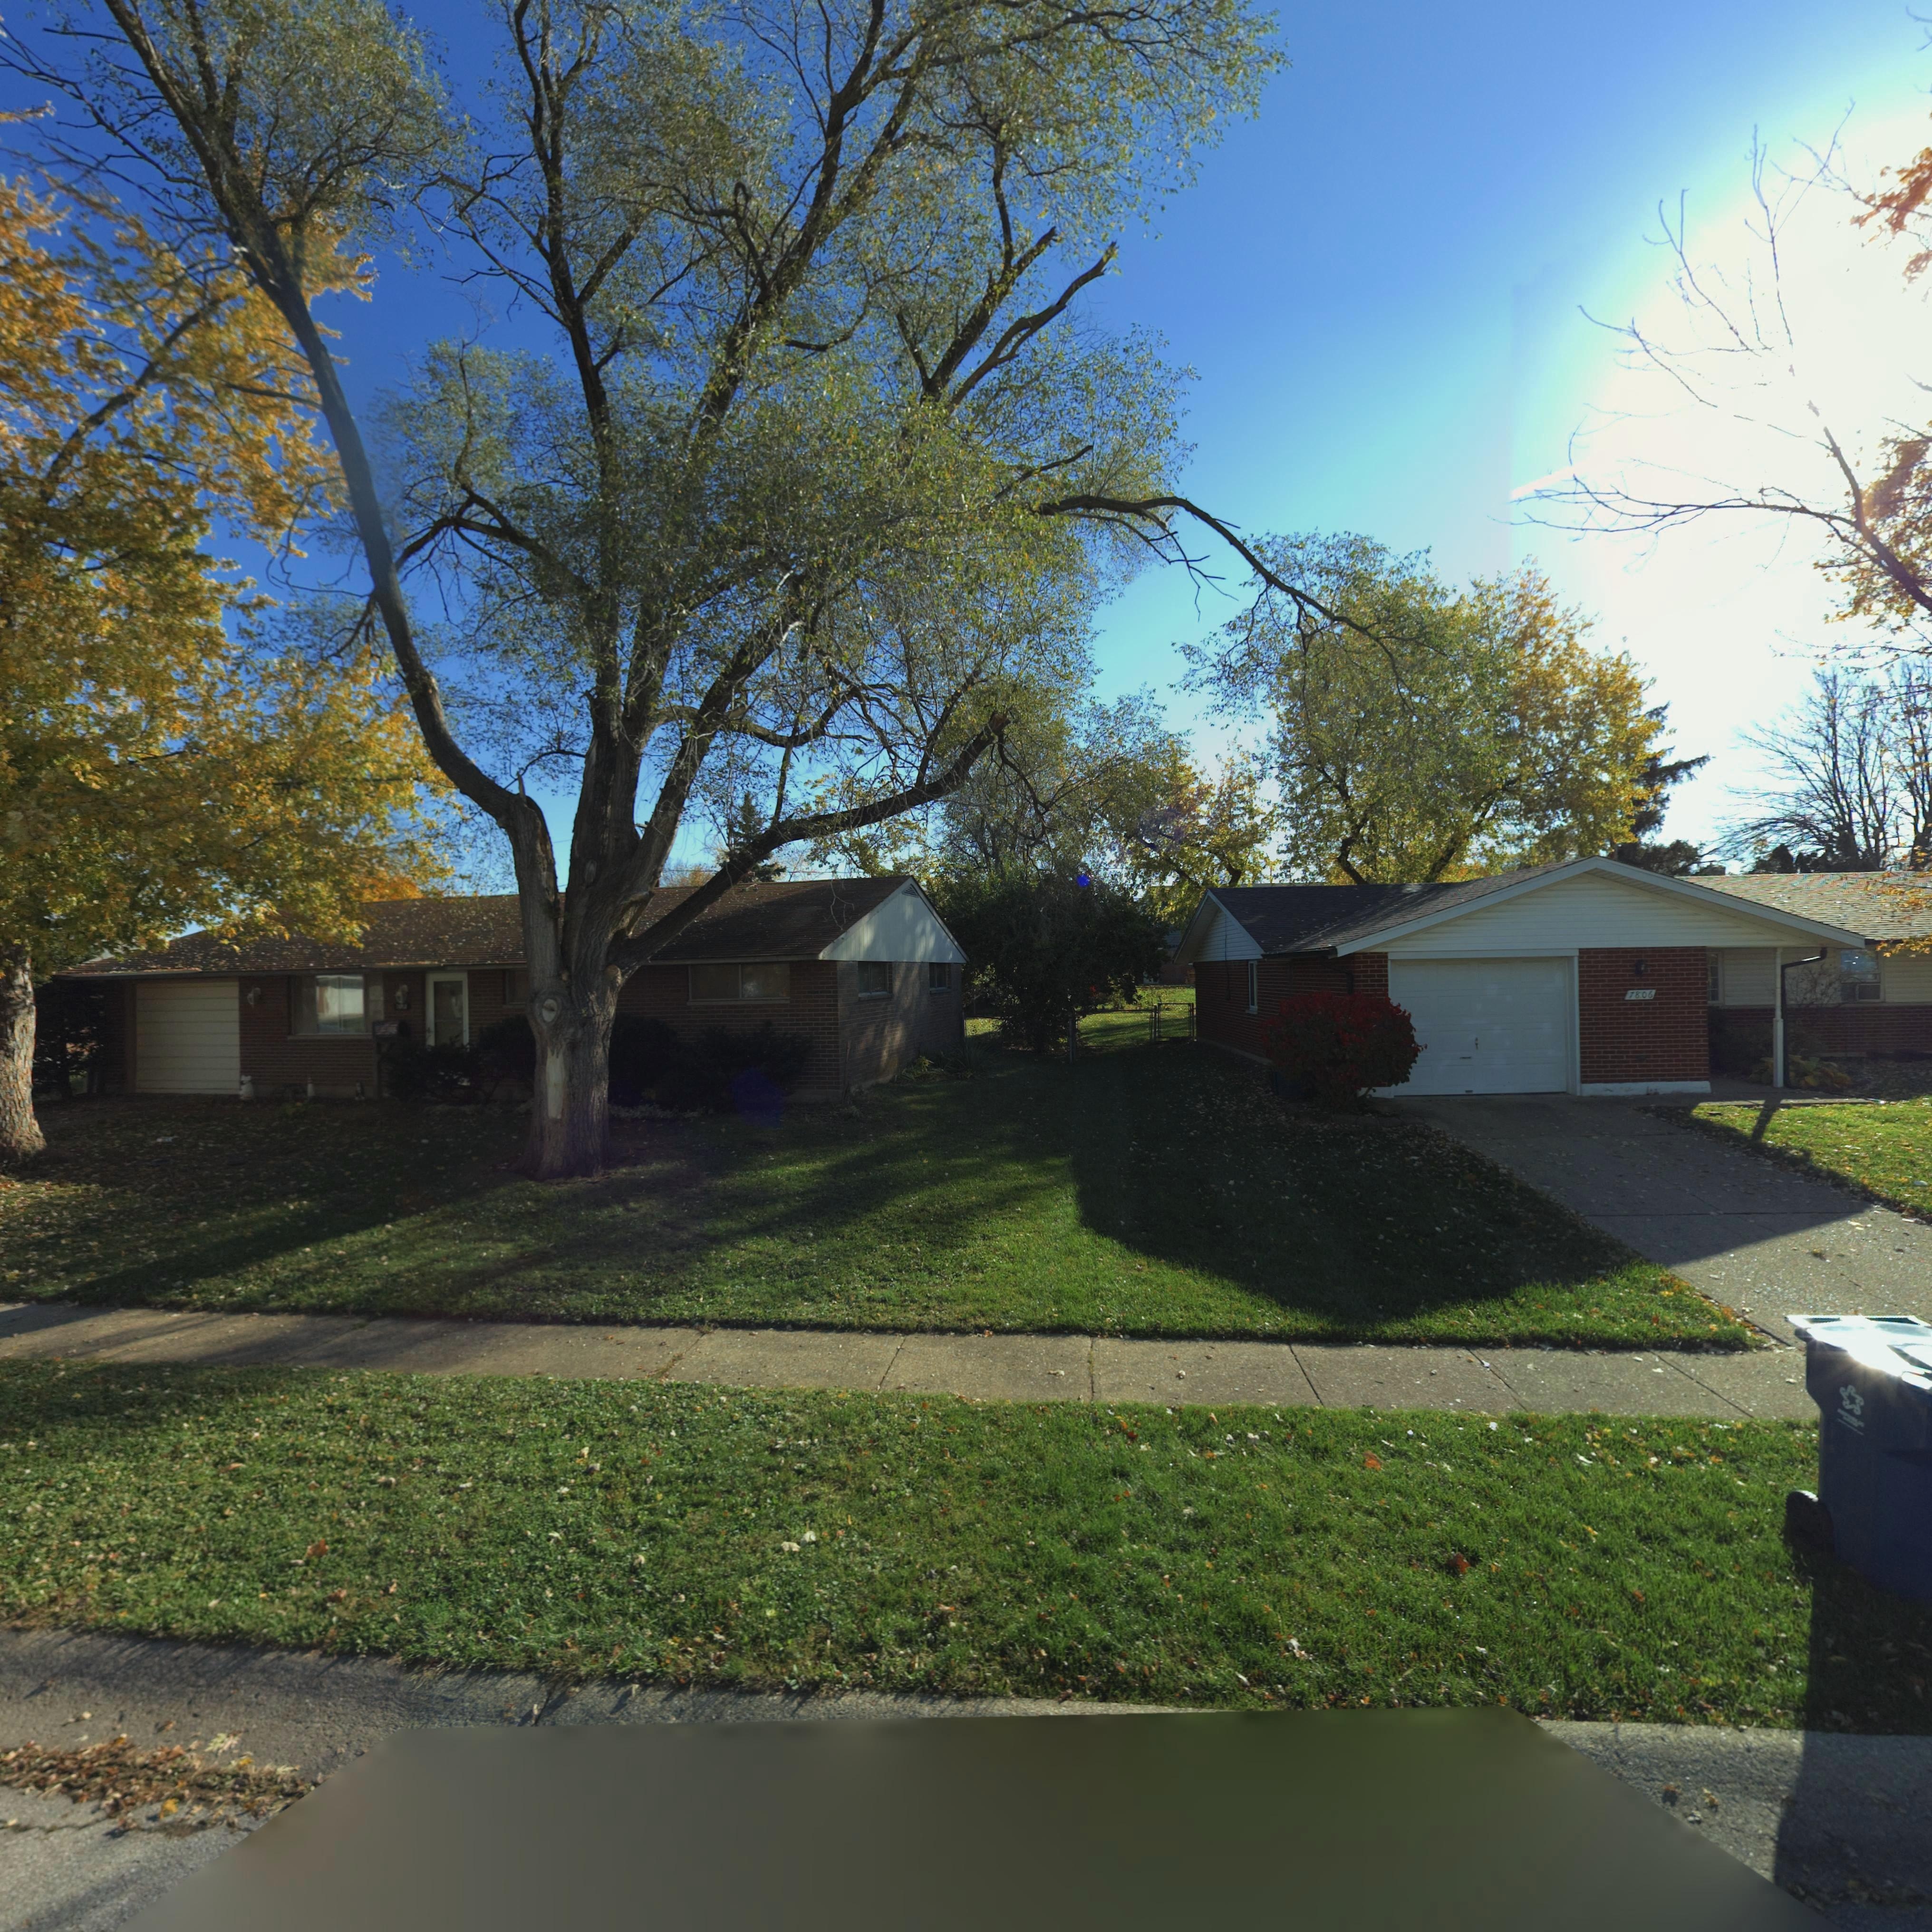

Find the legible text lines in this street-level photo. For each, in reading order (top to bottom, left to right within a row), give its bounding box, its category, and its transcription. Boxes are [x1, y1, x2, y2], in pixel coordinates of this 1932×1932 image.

[1628, 990, 1654, 999] StreetNumber: 7806